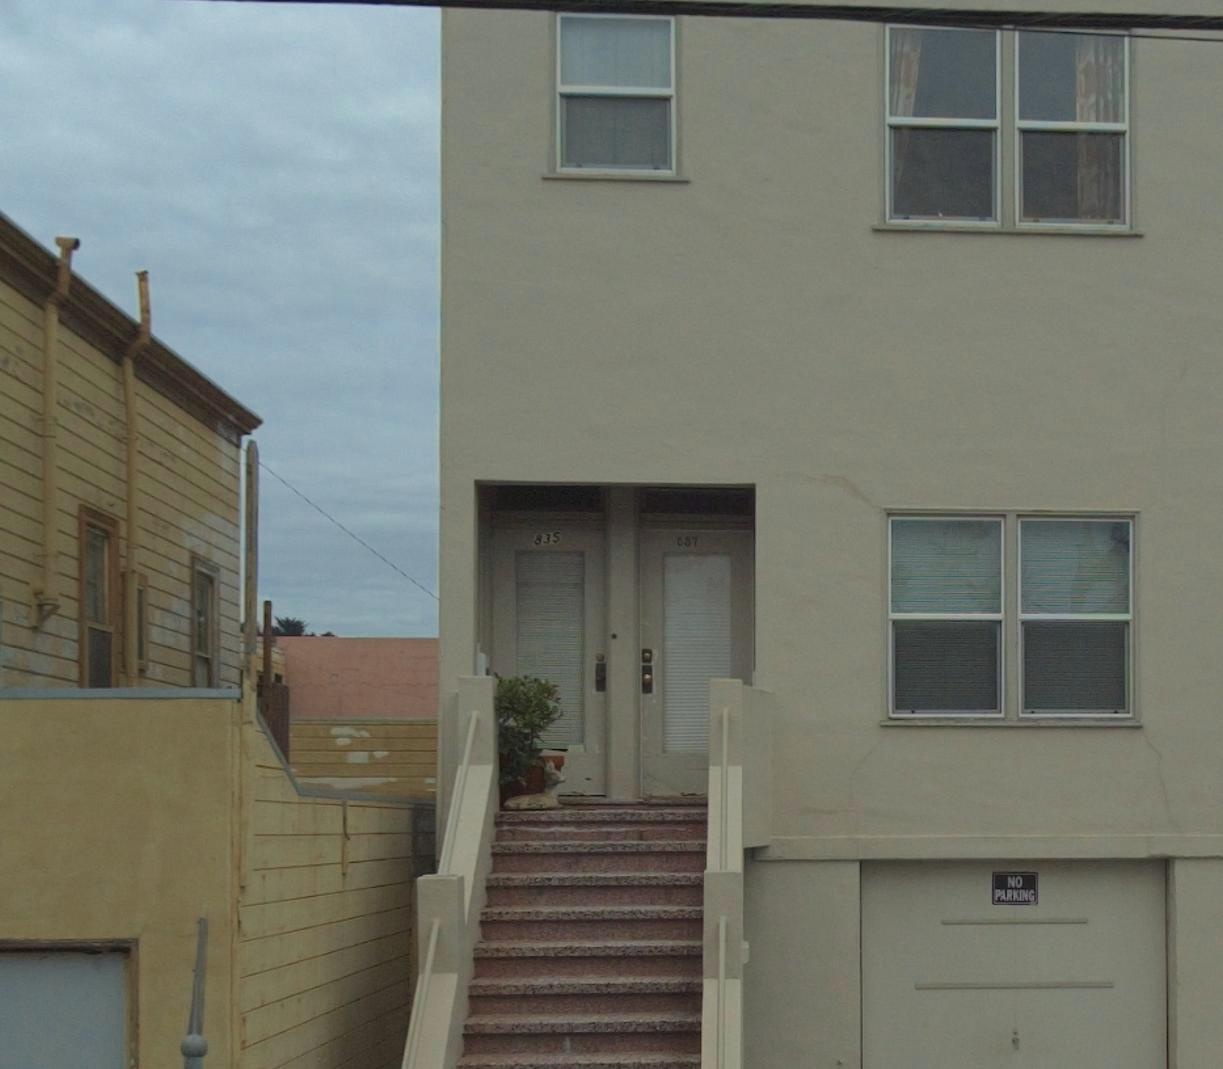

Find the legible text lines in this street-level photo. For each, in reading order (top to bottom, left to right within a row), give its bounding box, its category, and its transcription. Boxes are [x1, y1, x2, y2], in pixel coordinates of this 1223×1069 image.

[533, 531, 561, 545] StreetNumber: 835
[676, 535, 699, 548] StreetNumber: 537
[1006, 875, 1023, 889] None: NO
[993, 889, 1036, 902] None: PARKING